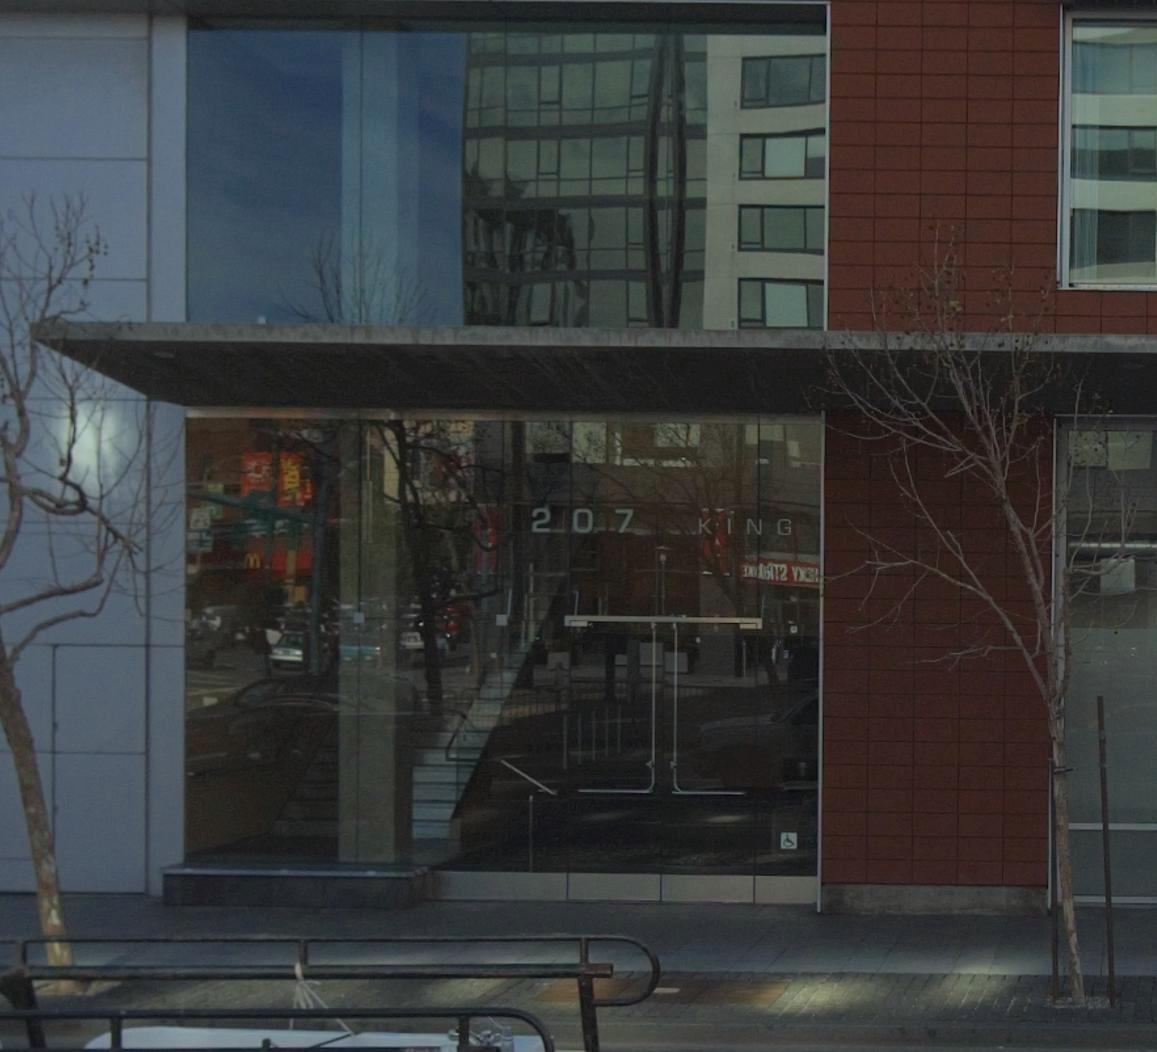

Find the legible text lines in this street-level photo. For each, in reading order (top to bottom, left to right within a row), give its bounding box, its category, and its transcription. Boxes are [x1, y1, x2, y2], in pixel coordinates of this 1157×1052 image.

[529, 505, 637, 536] StreetNumber: 207
[694, 514, 794, 541] StreetName: KING
[770, 561, 802, 585] None: T2 Y